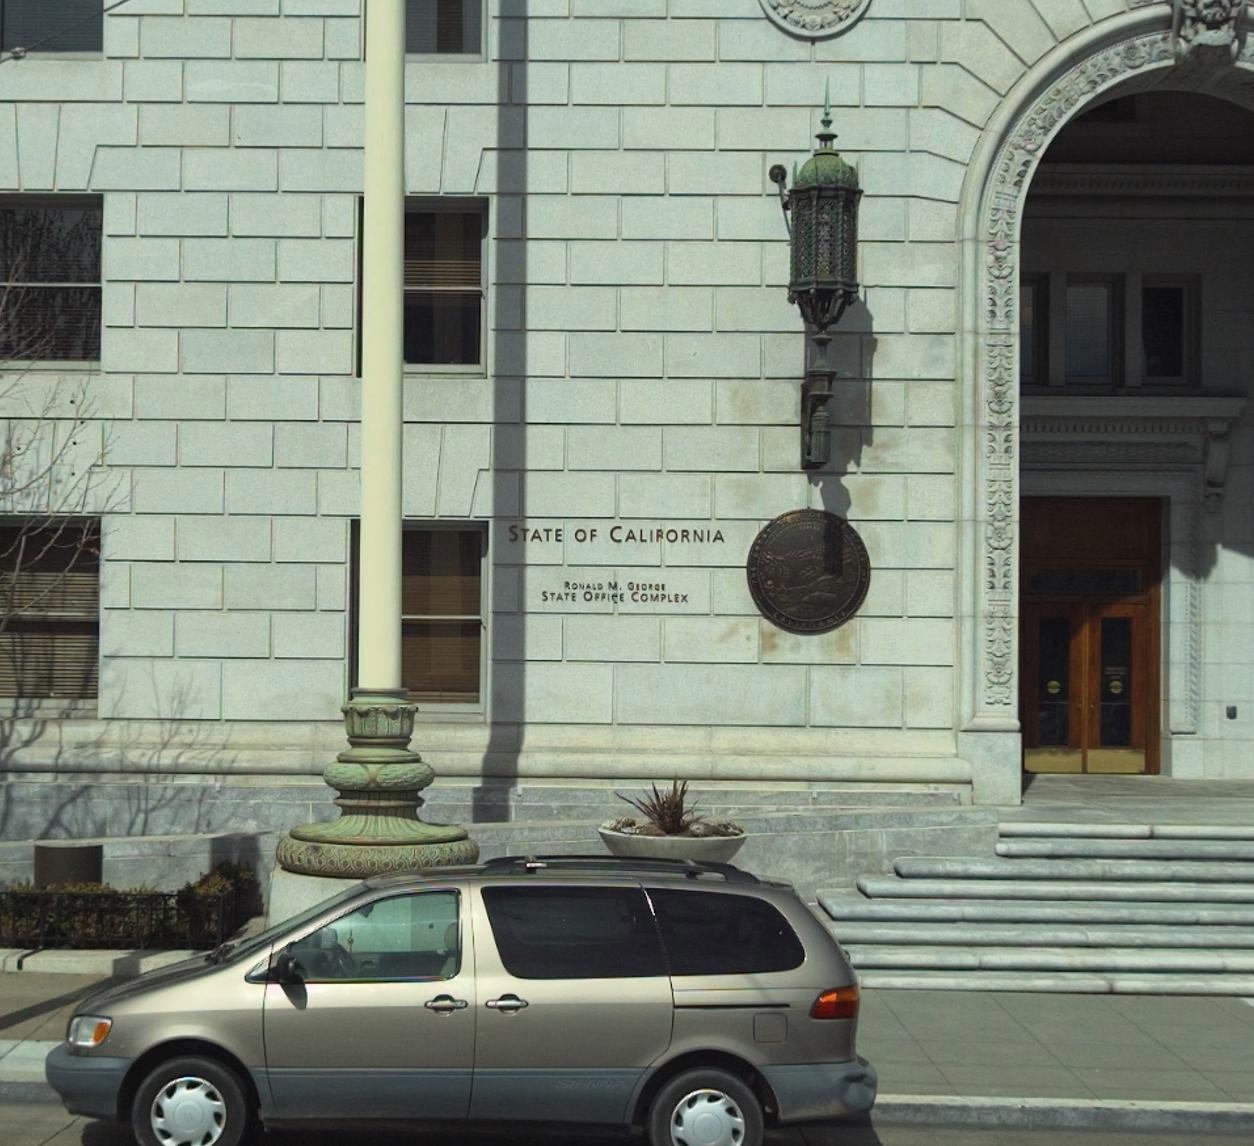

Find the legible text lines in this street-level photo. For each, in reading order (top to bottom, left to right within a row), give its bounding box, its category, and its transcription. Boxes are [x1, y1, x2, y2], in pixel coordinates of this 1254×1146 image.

[507, 524, 727, 544] BusinessName: STATE OF CALIFORNIA
[562, 578, 667, 594] BusinessName: RONALD M. GEORGE
[538, 588, 690, 605] BusinessName: STATE OFFICE COMPLEX